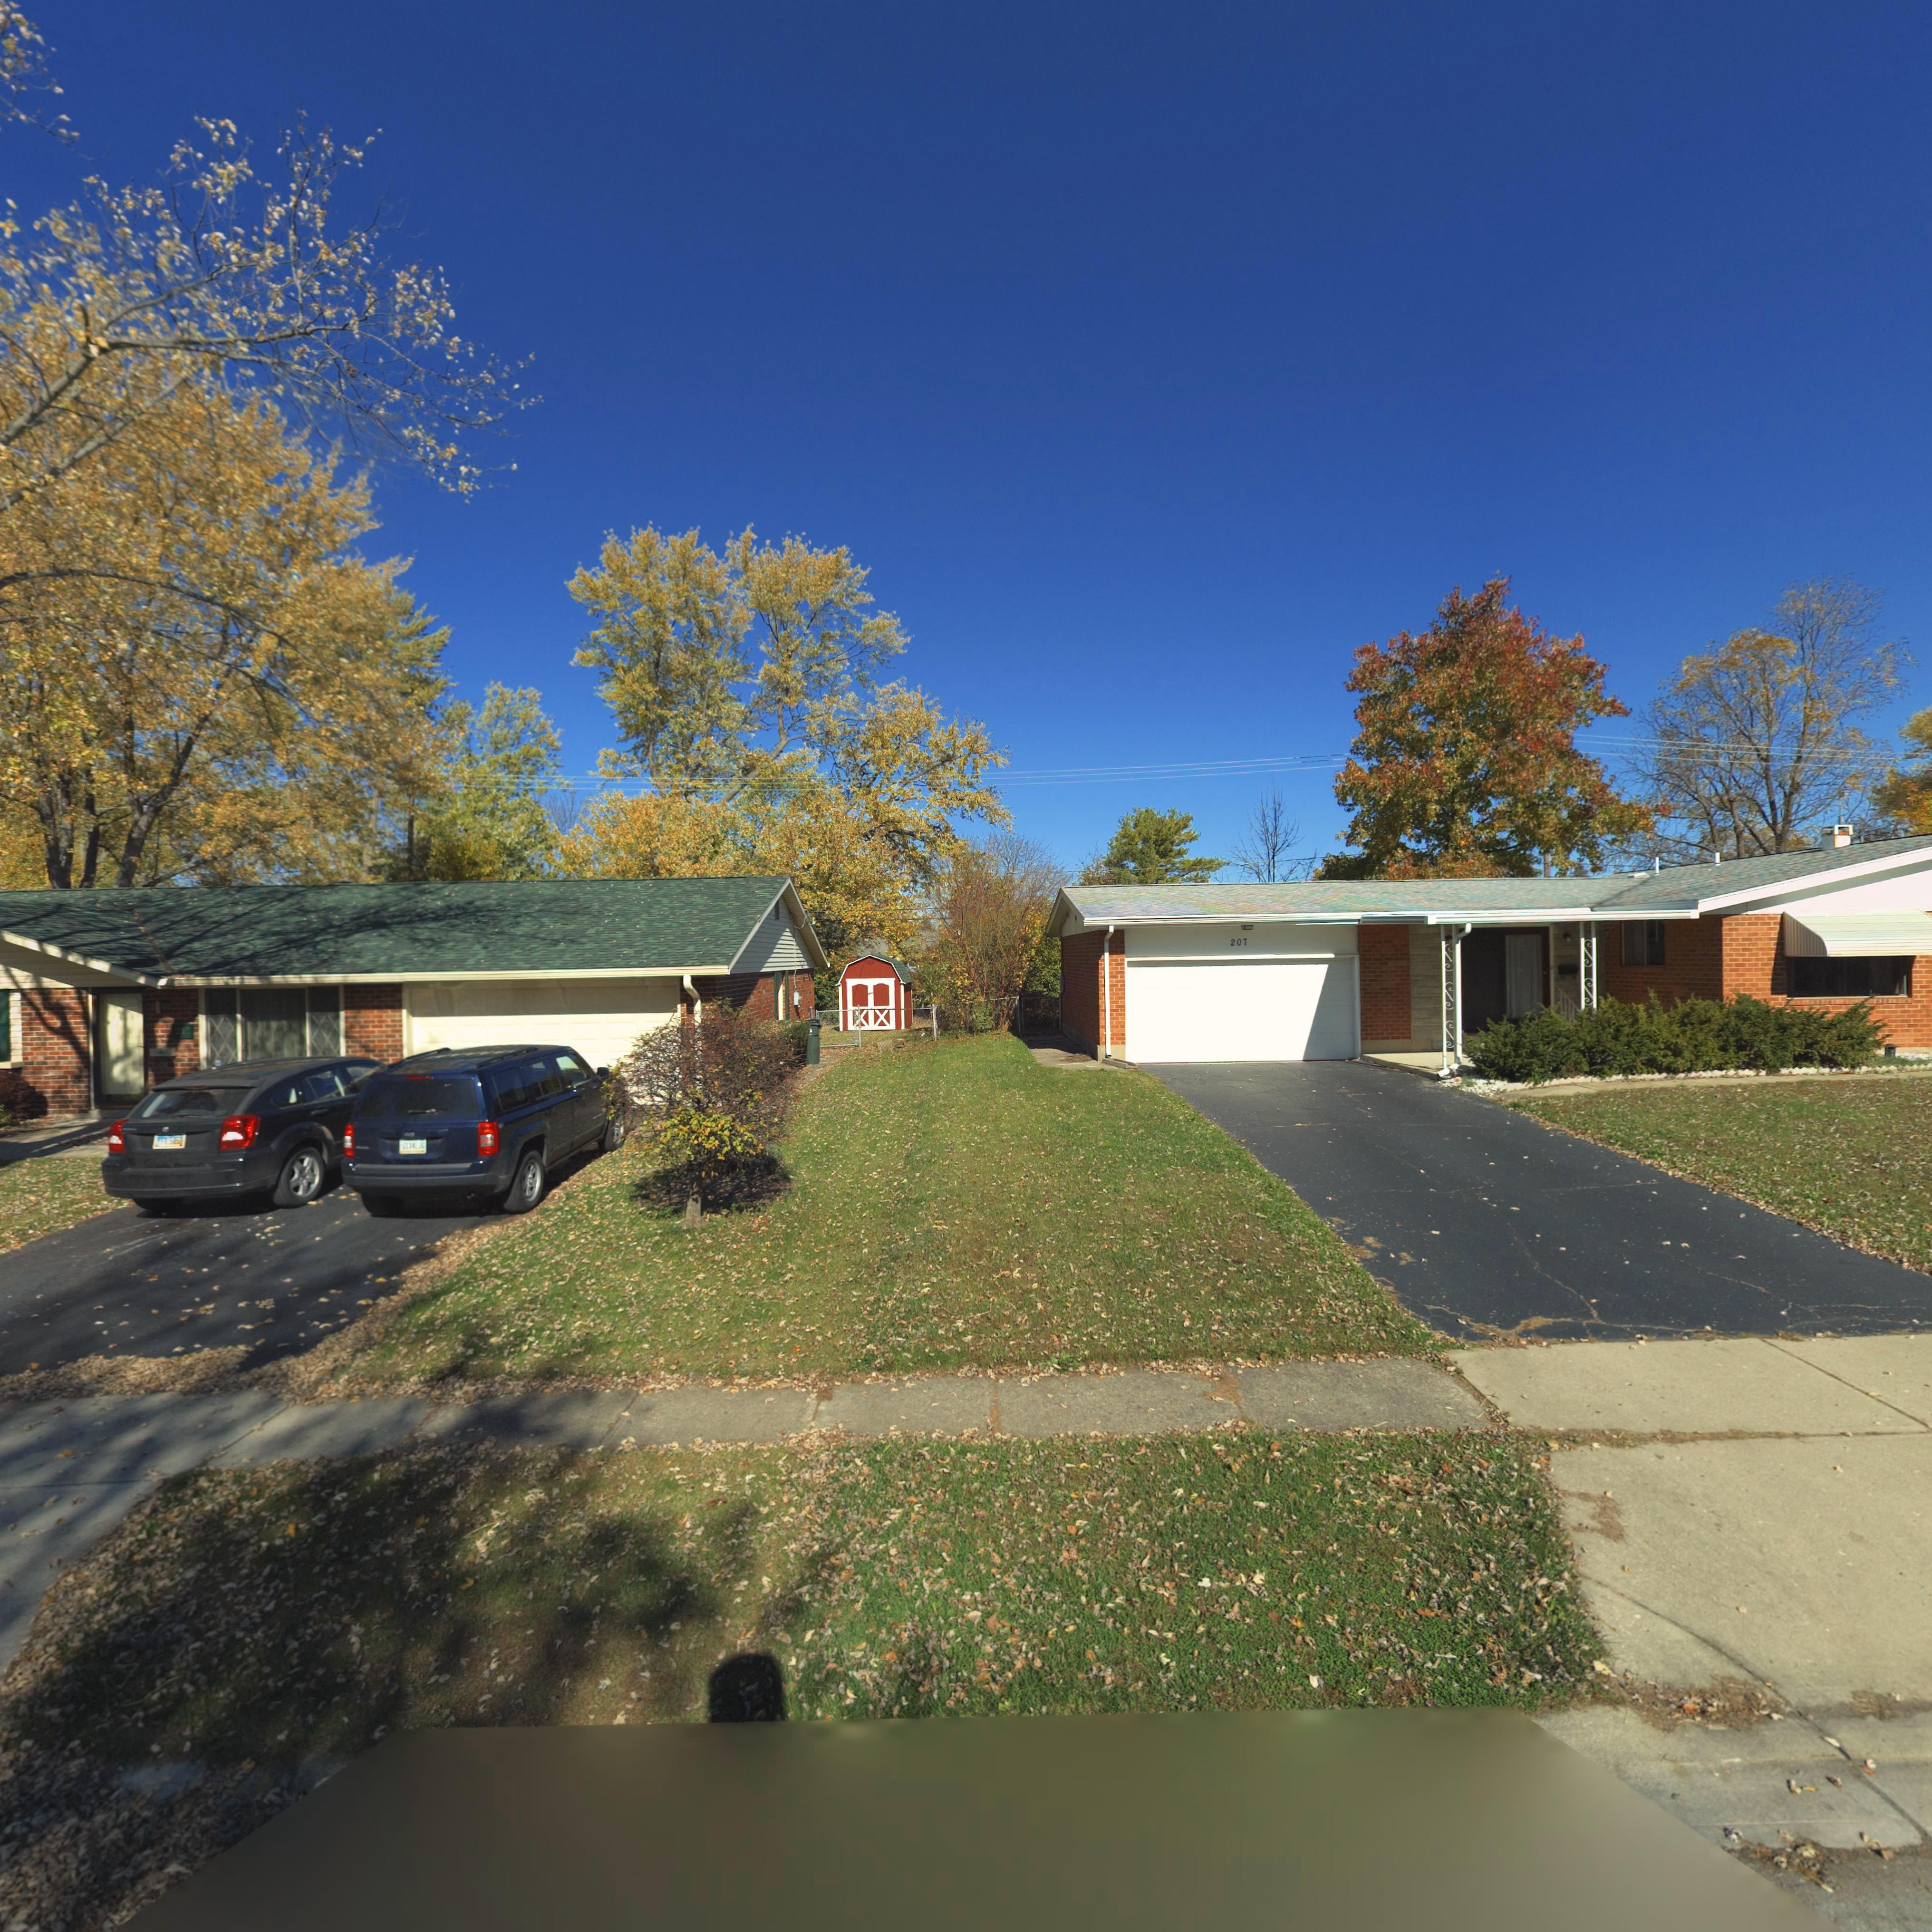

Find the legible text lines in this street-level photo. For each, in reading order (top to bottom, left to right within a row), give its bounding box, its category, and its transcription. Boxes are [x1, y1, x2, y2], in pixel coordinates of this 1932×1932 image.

[1229, 937, 1248, 947] StreetNumber: 207